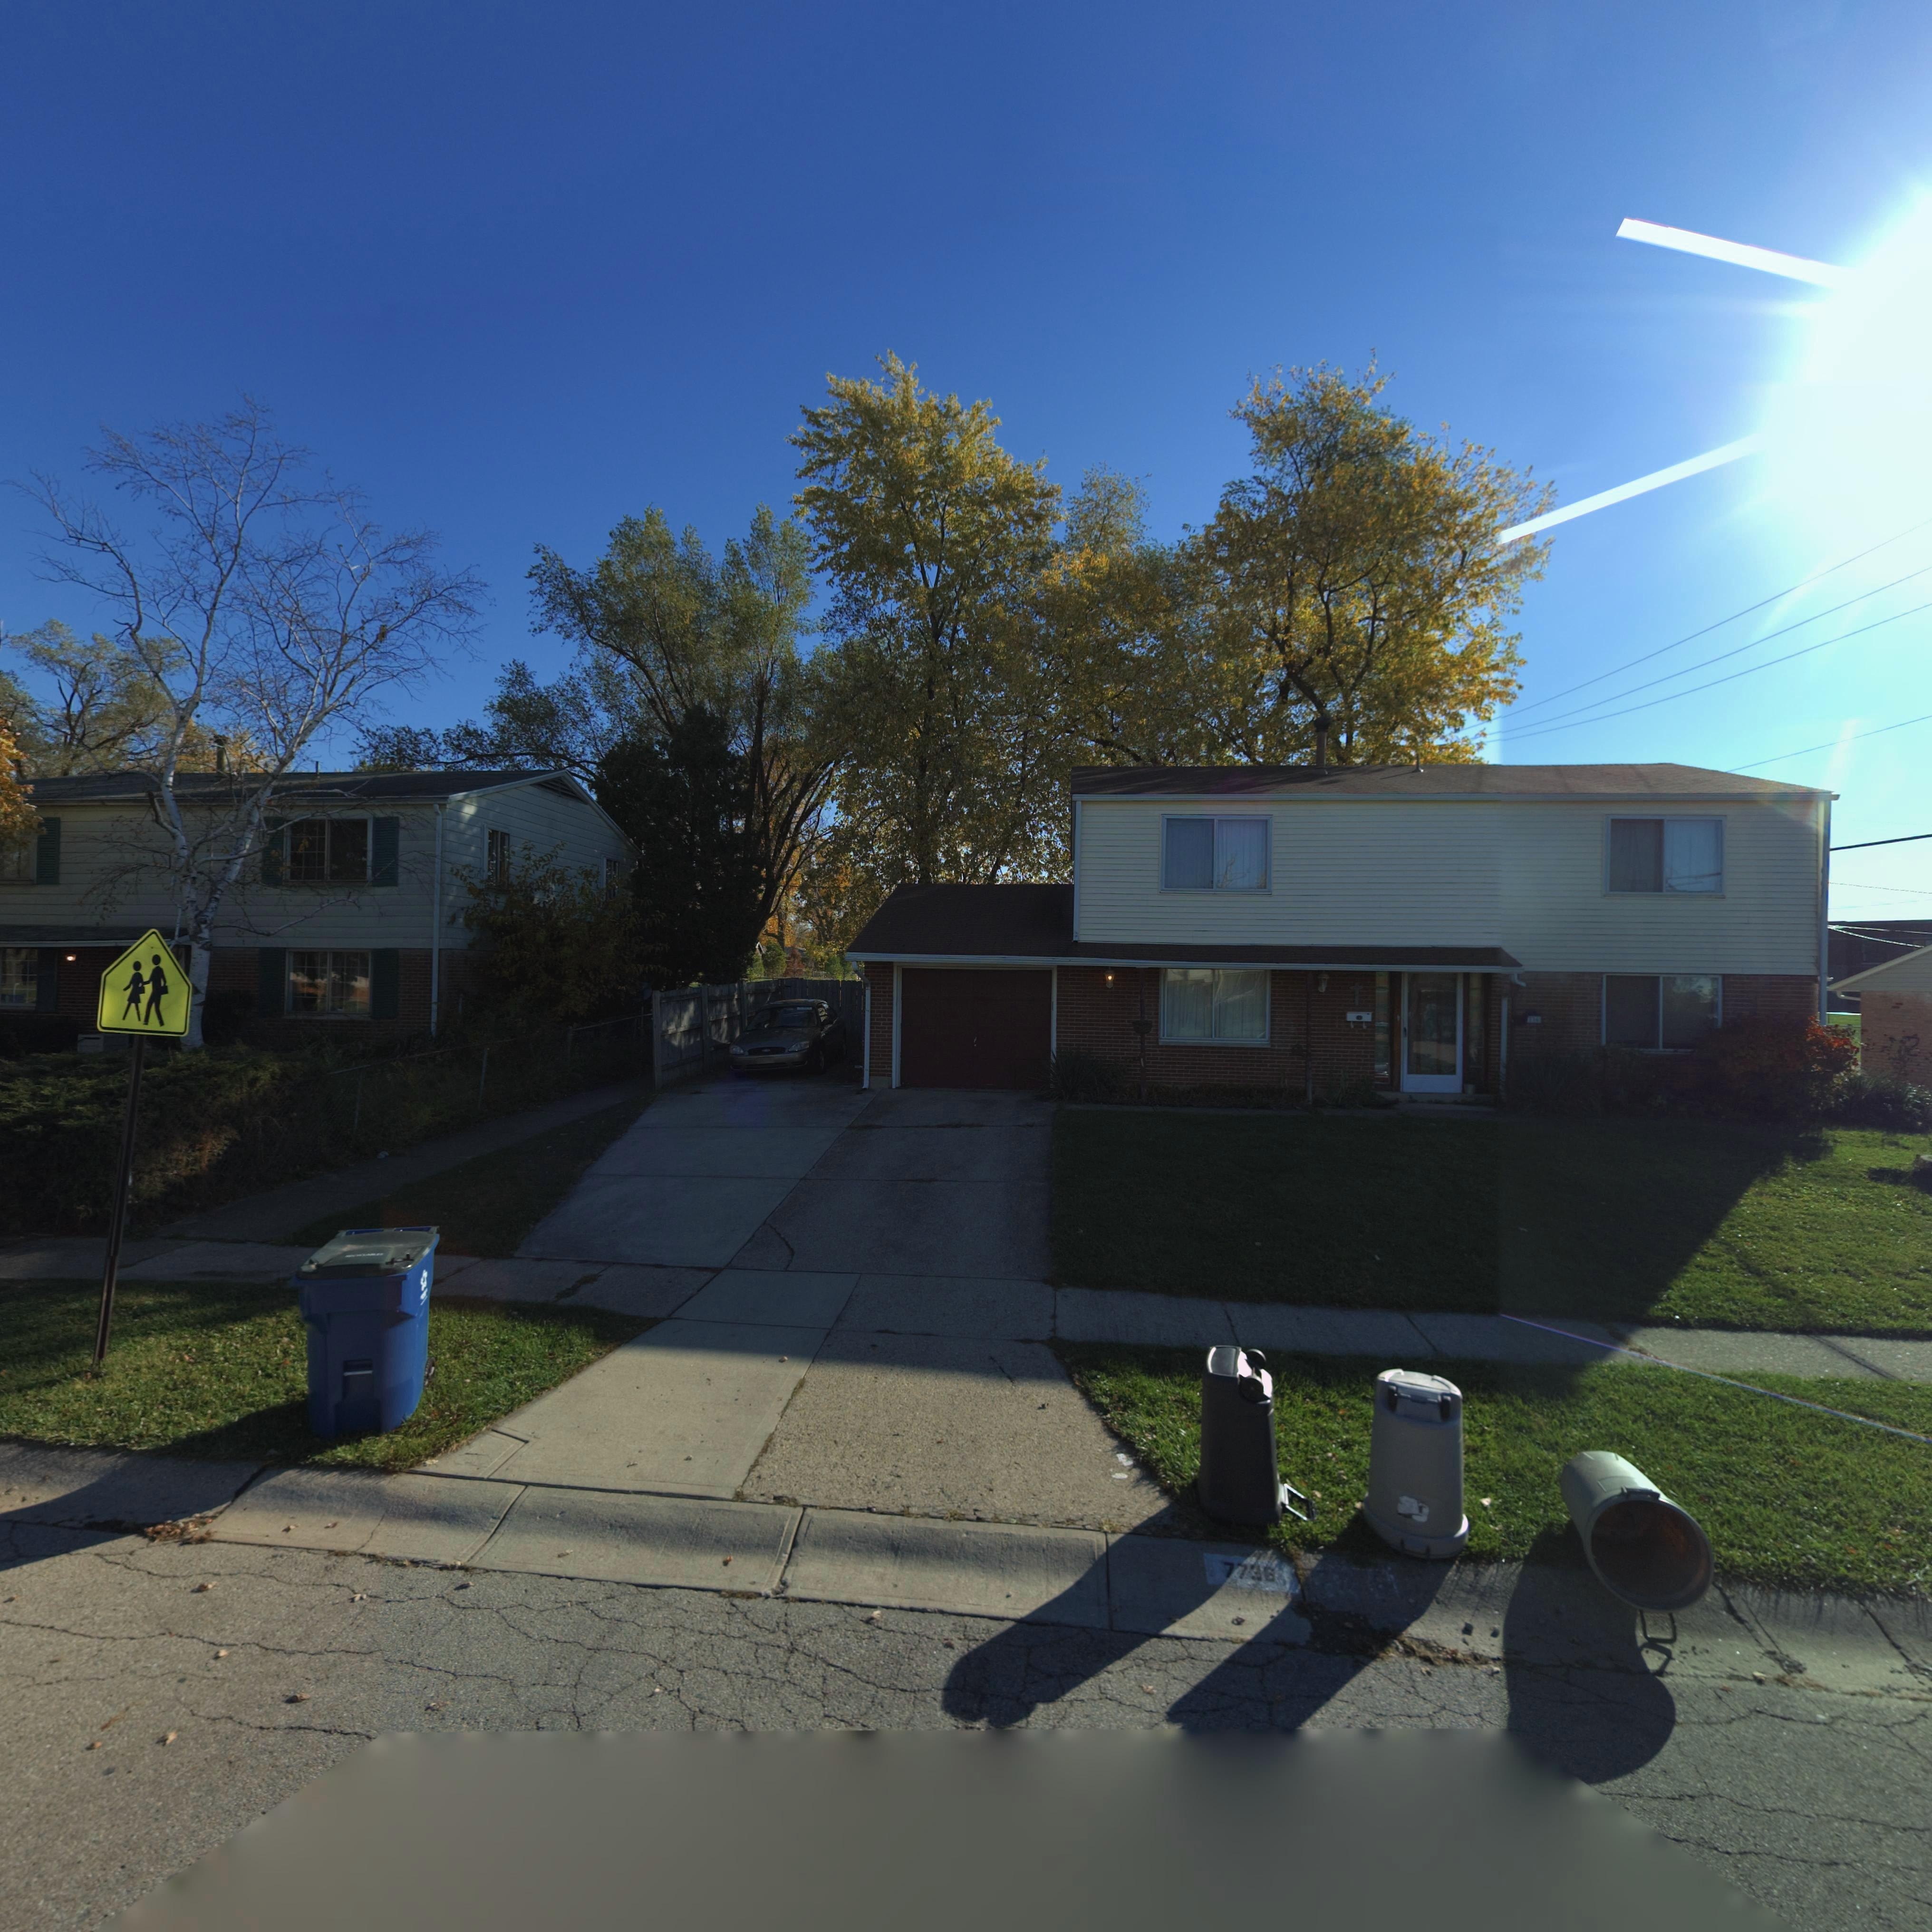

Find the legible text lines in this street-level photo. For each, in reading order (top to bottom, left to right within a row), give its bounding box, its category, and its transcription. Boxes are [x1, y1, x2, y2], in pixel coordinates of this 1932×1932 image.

[1531, 1016, 1540, 1024] StreetNumber: 36
[1222, 1560, 1276, 1584] StreetNumber: 7736